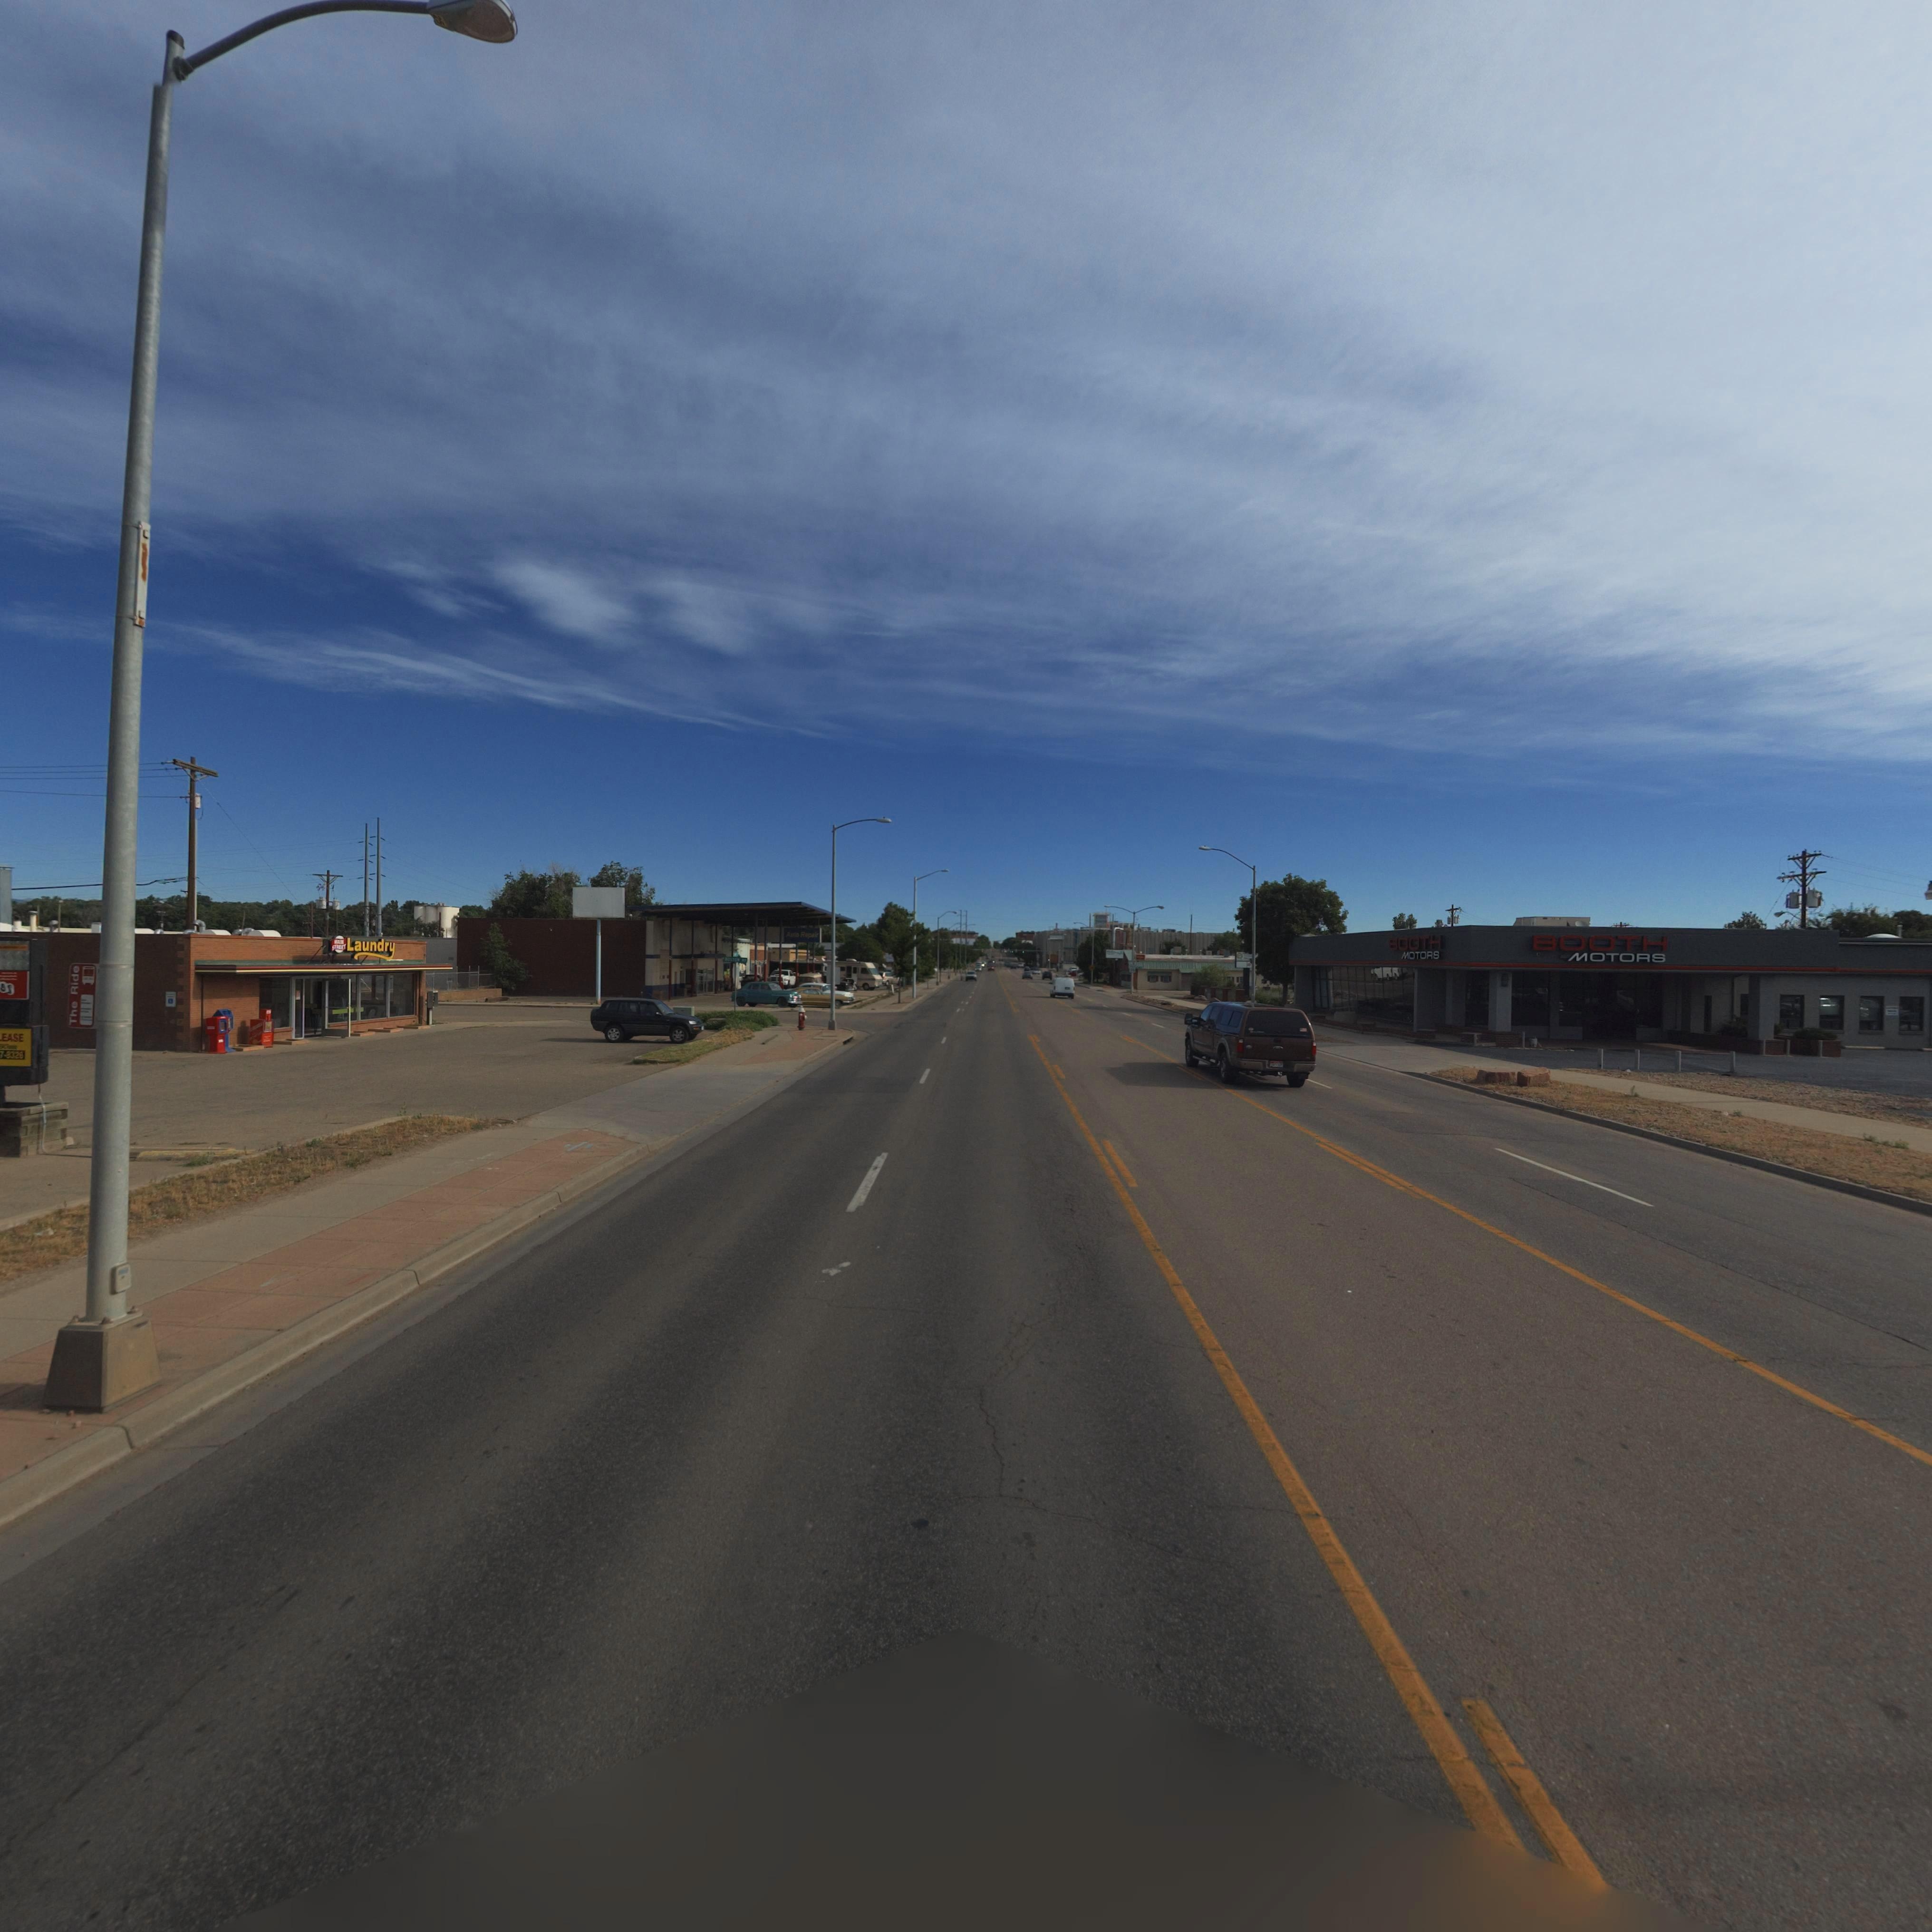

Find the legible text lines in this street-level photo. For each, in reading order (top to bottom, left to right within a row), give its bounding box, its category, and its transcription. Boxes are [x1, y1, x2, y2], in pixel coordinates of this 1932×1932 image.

[332, 944, 346, 951] BusinessName: S**EET
[347, 937, 395, 956] BusinessName: Laundry
[1388, 935, 1441, 950] BusinessName: BOOTH
[1533, 935, 1667, 951] BusinessName: BOOTH
[724, 957, 740, 961] StreetName: BOS**N
[1400, 951, 1439, 959] BusinessName: MOTORS
[1566, 952, 1665, 963] BusinessName: MOTORS